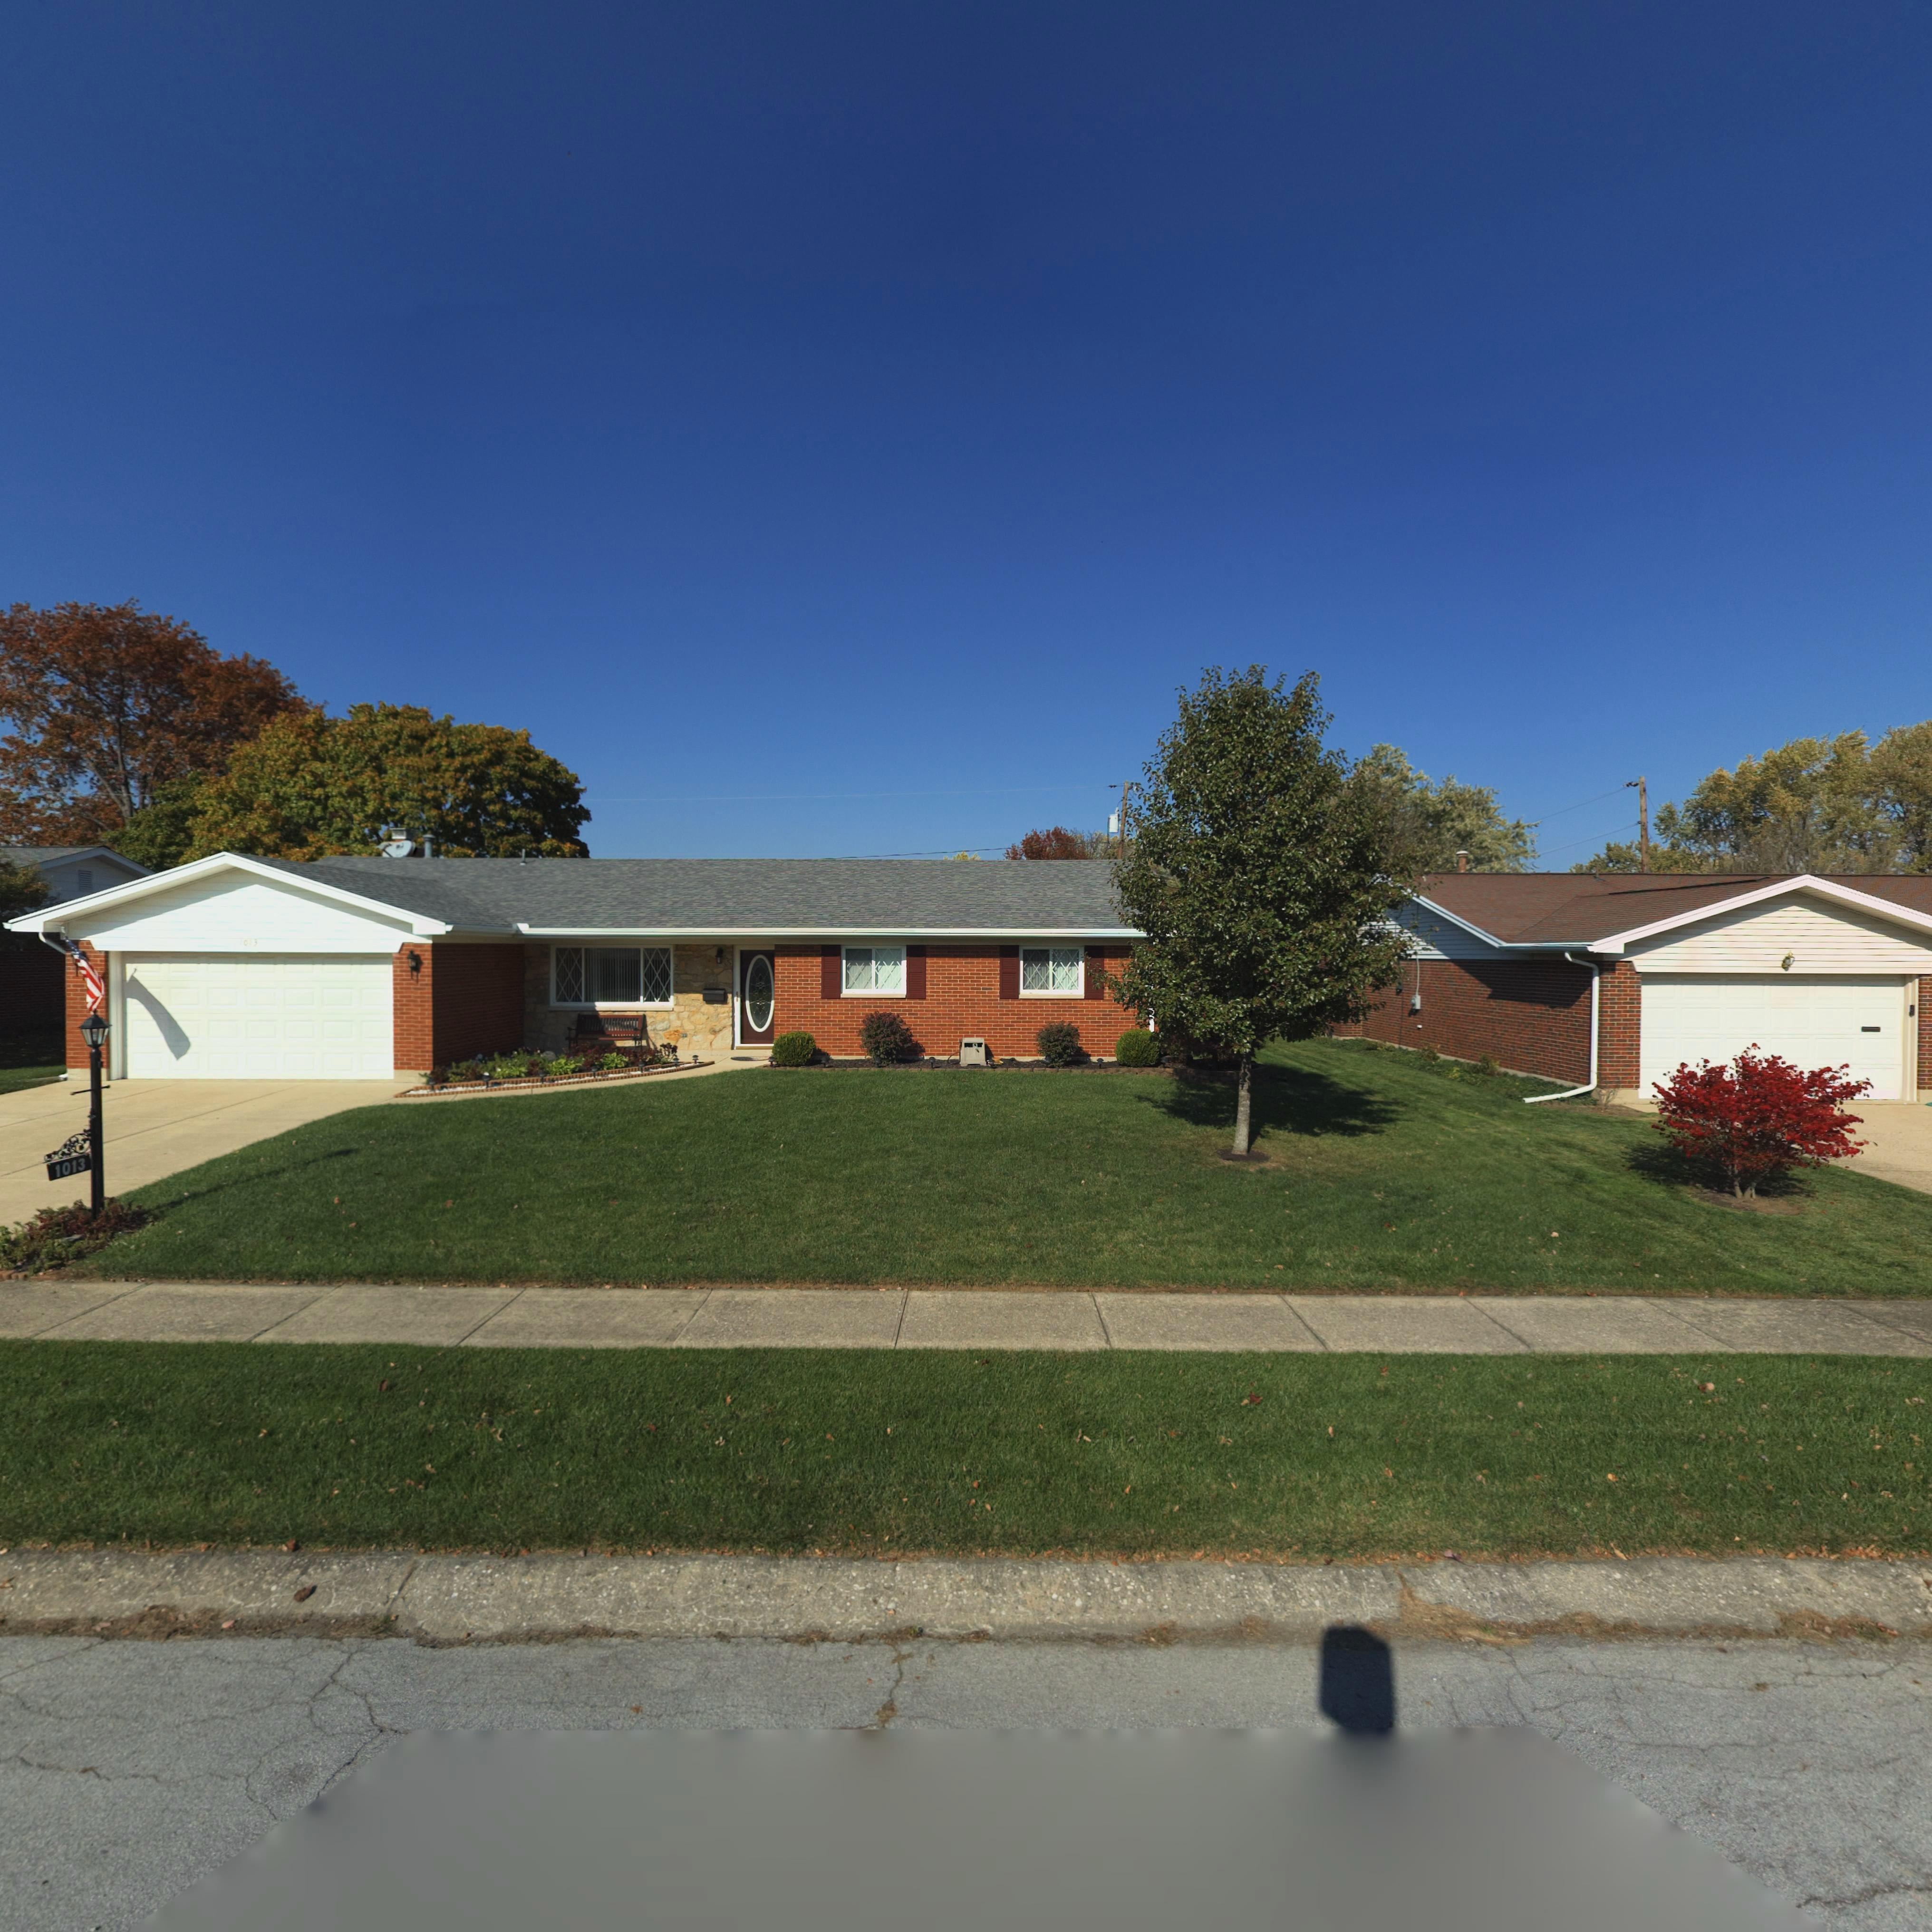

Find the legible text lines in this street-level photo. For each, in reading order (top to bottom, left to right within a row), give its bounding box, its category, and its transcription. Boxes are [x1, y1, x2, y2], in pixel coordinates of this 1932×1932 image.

[239, 938, 258, 947] StreetNumber: 1013
[54, 1157, 86, 1179] StreetNumber: 1013